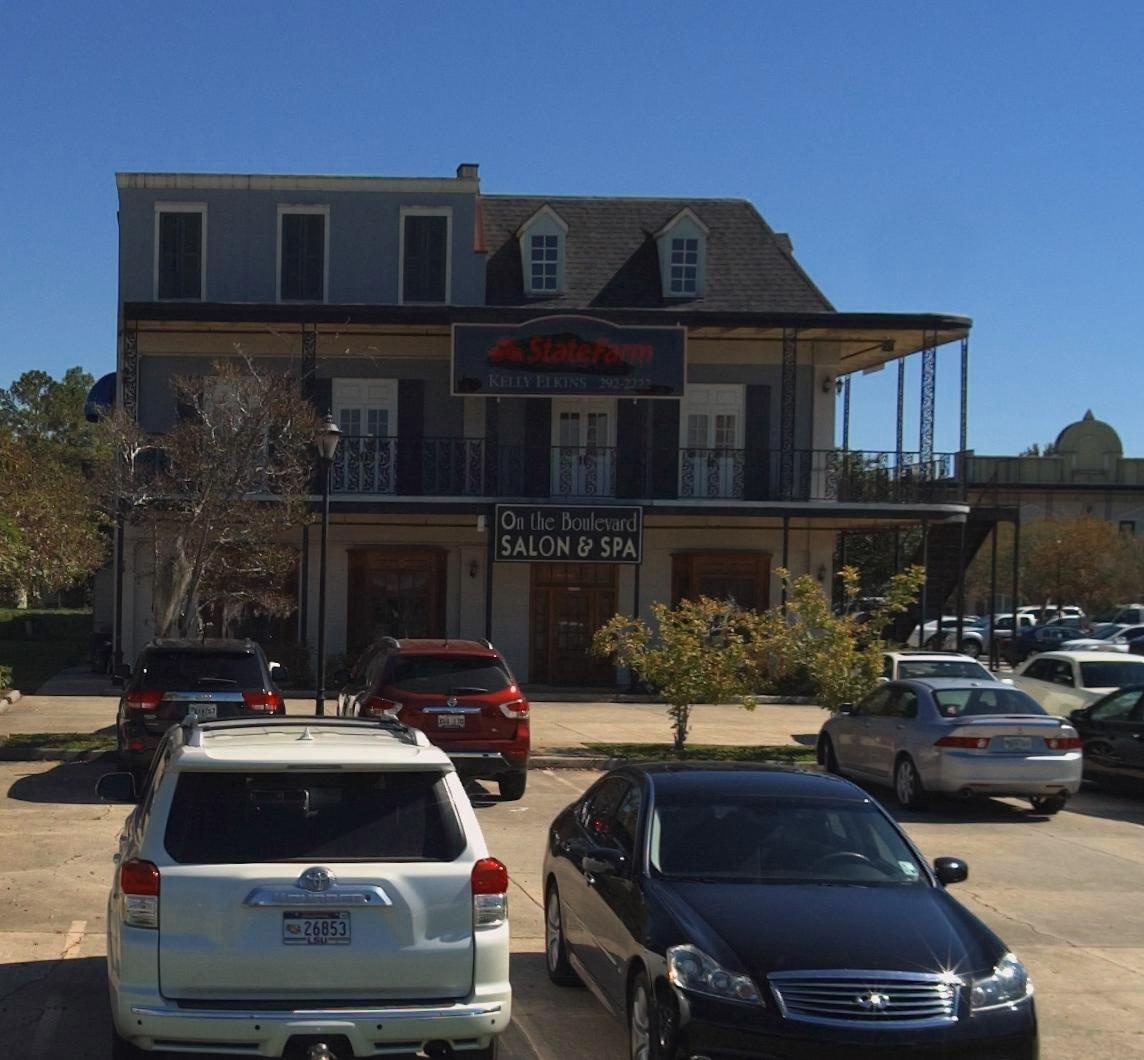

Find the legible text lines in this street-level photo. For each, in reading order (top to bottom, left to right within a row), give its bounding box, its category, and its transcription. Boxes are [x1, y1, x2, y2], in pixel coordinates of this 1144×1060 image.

[525, 334, 655, 365] BusinessName: StateFarm
[487, 372, 654, 392] None: KELLY ELKINS 292-2222
[499, 509, 639, 533] BusinessName: On the Boulevard
[499, 533, 638, 559] BusinessName: SALON & SPA
[302, 919, 347, 938] None: 26853